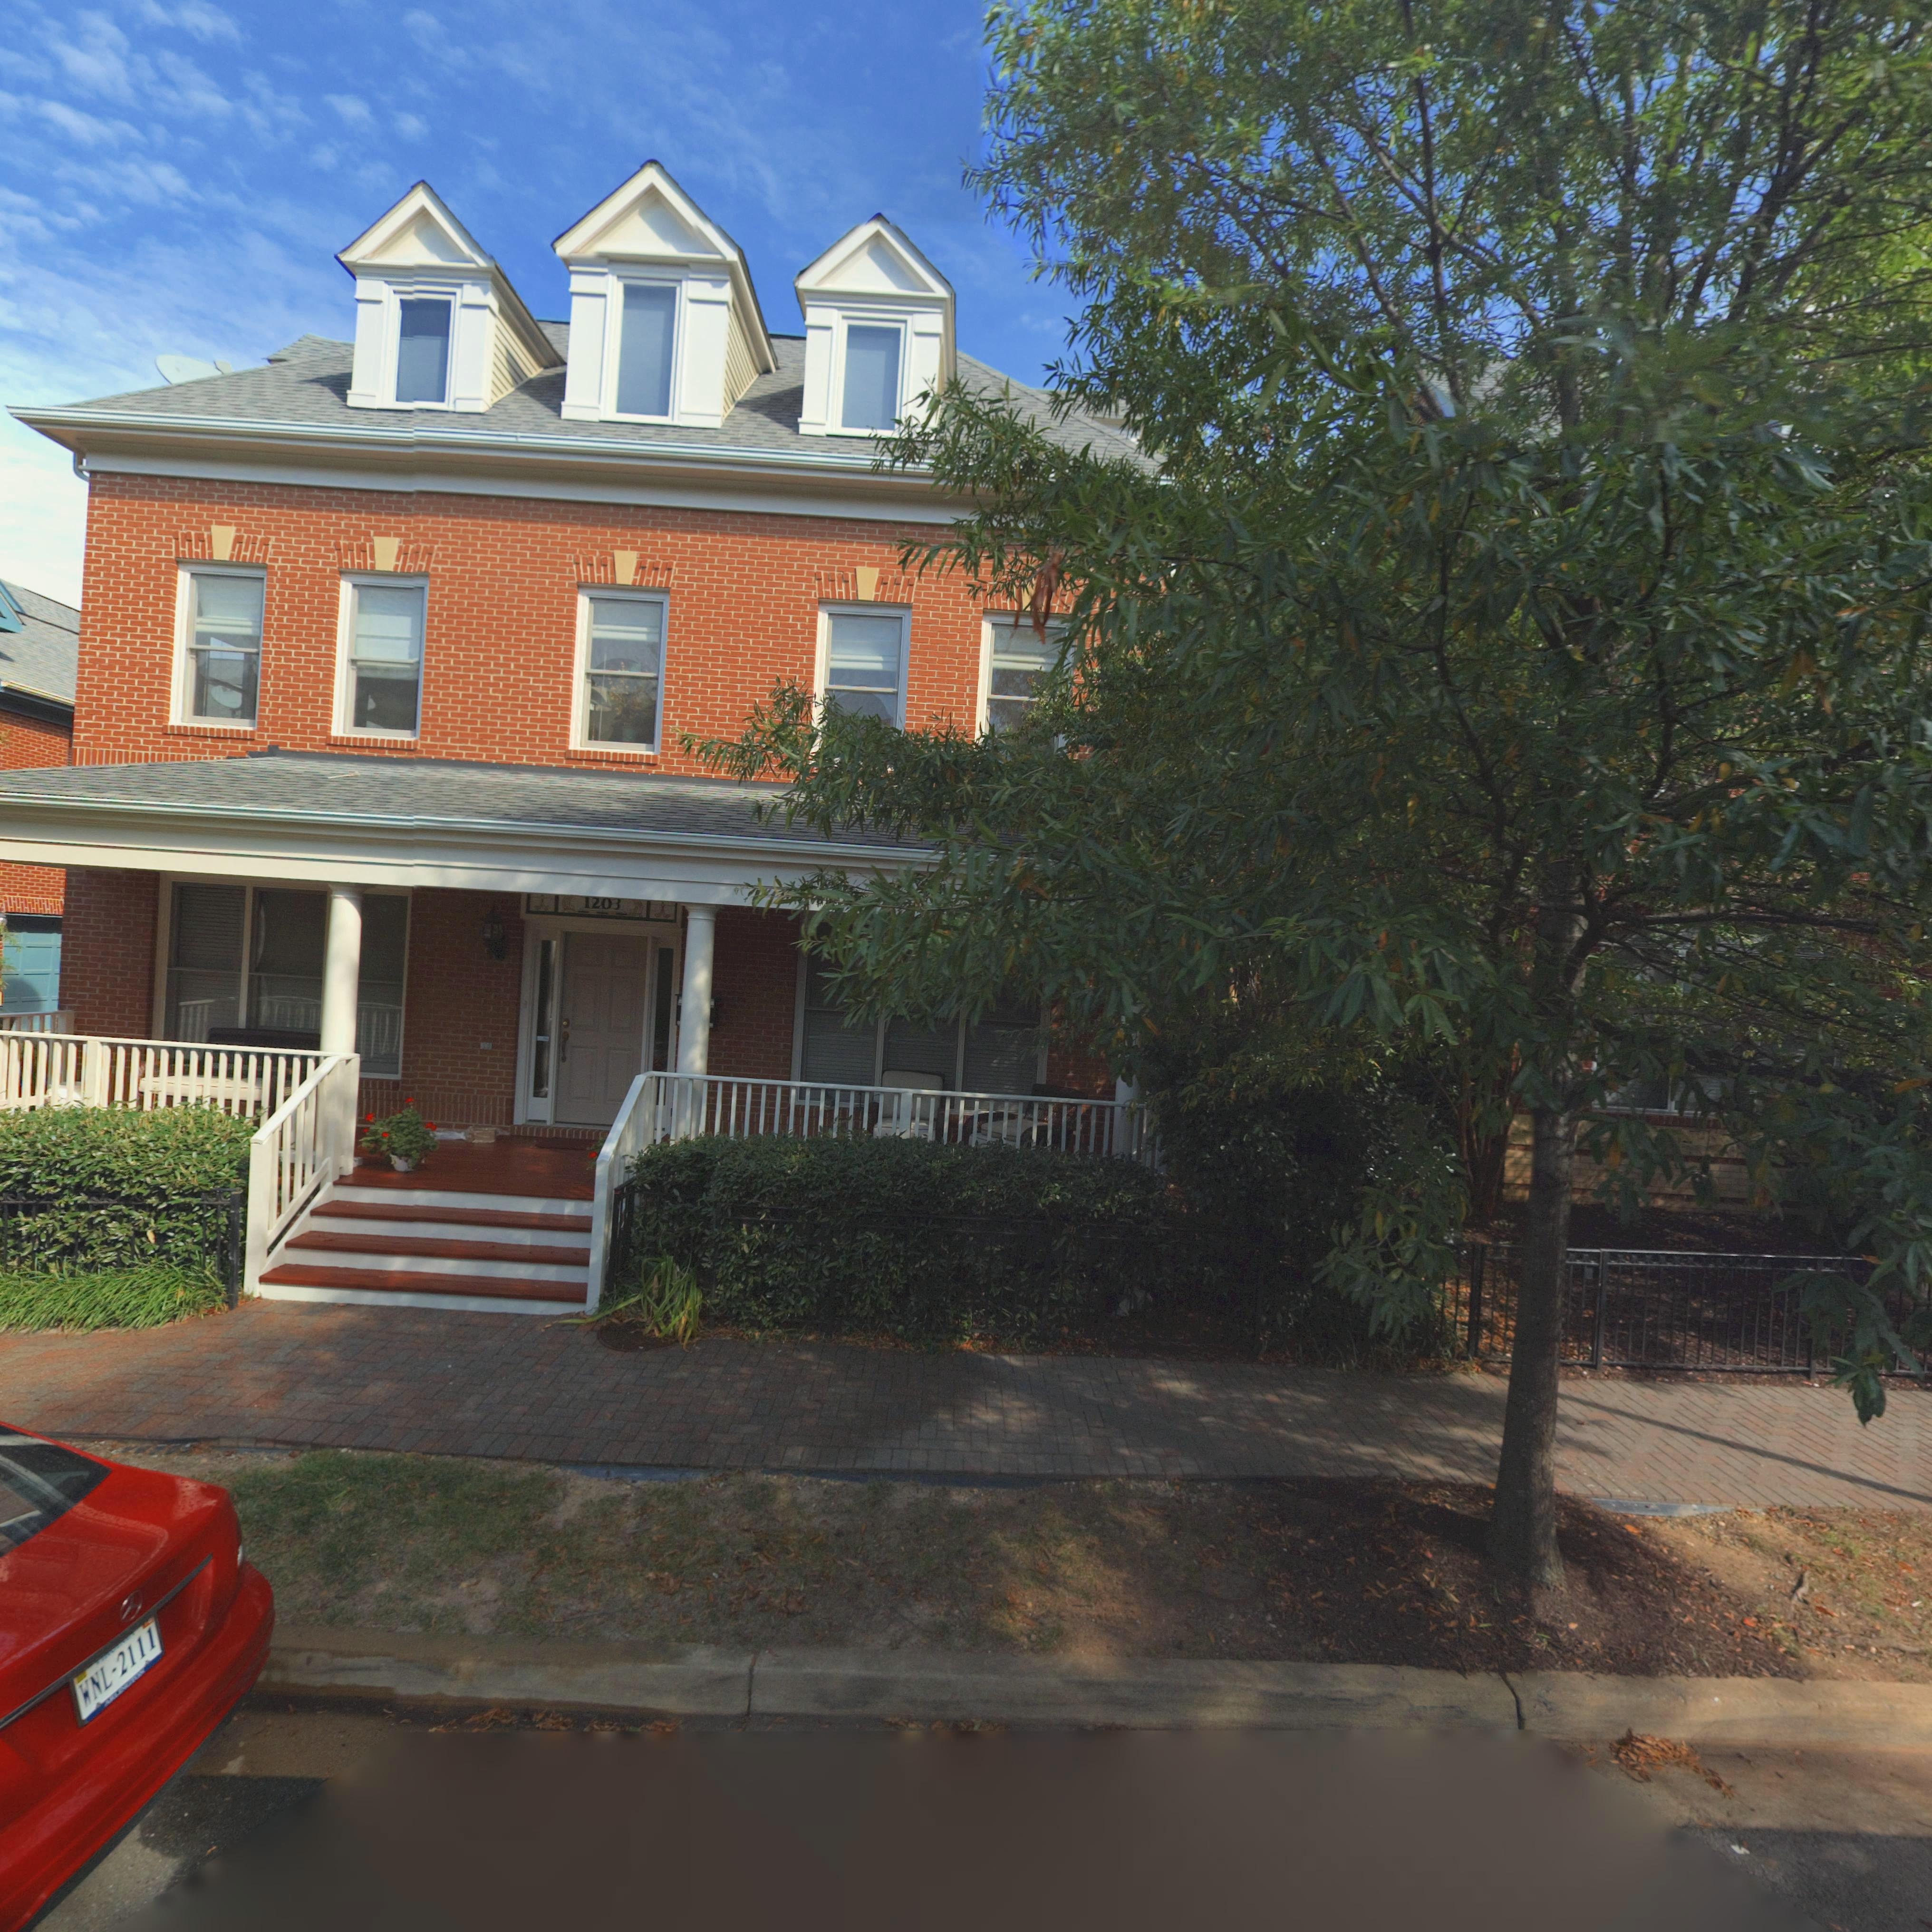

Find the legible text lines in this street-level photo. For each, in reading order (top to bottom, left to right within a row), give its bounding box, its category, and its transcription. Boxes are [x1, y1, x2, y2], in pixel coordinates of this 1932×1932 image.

[582, 896, 622, 911] StreetNumber: 1203
[74, 1624, 159, 1712] None: WNL-2111